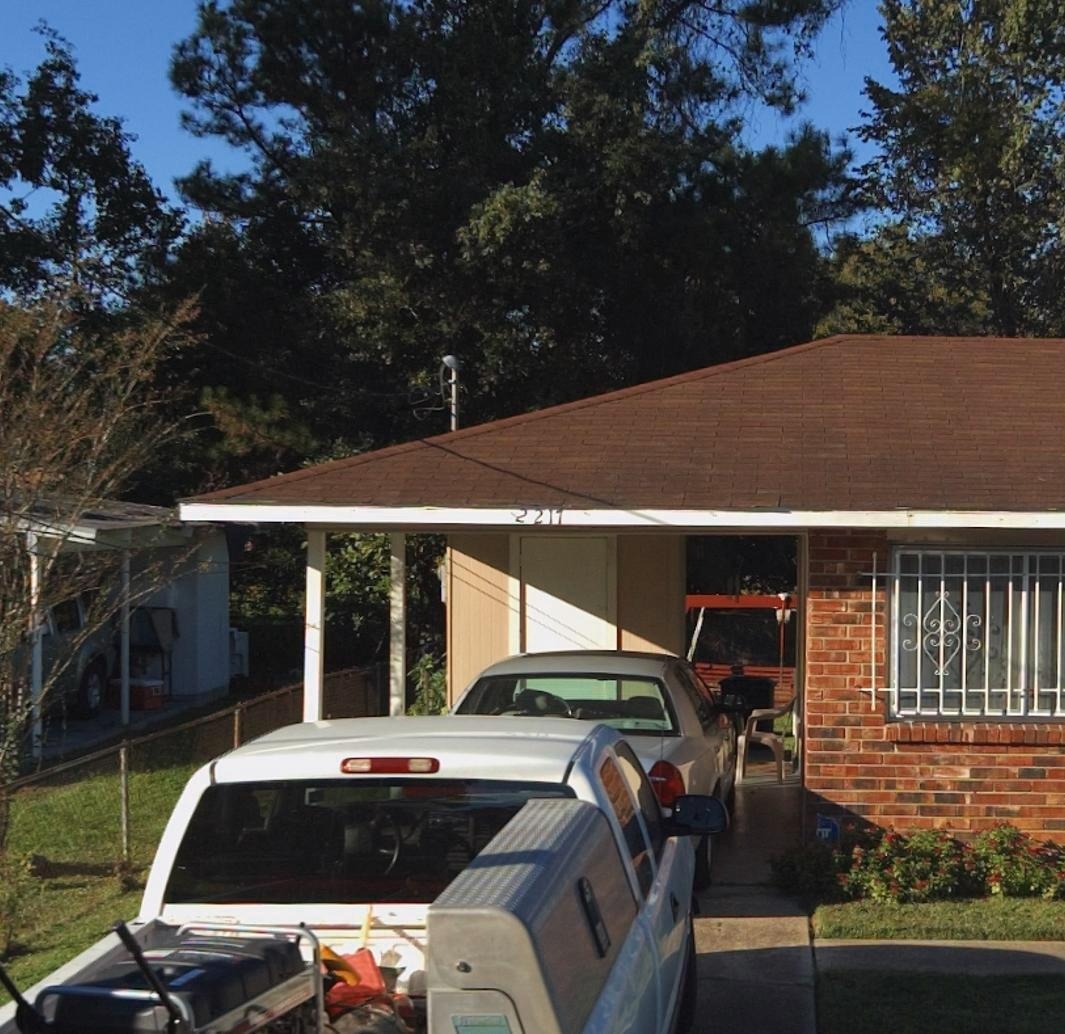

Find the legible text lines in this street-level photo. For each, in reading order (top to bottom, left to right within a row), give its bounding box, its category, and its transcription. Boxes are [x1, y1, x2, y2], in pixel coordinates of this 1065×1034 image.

[515, 507, 565, 525] StreetNumber: 2217